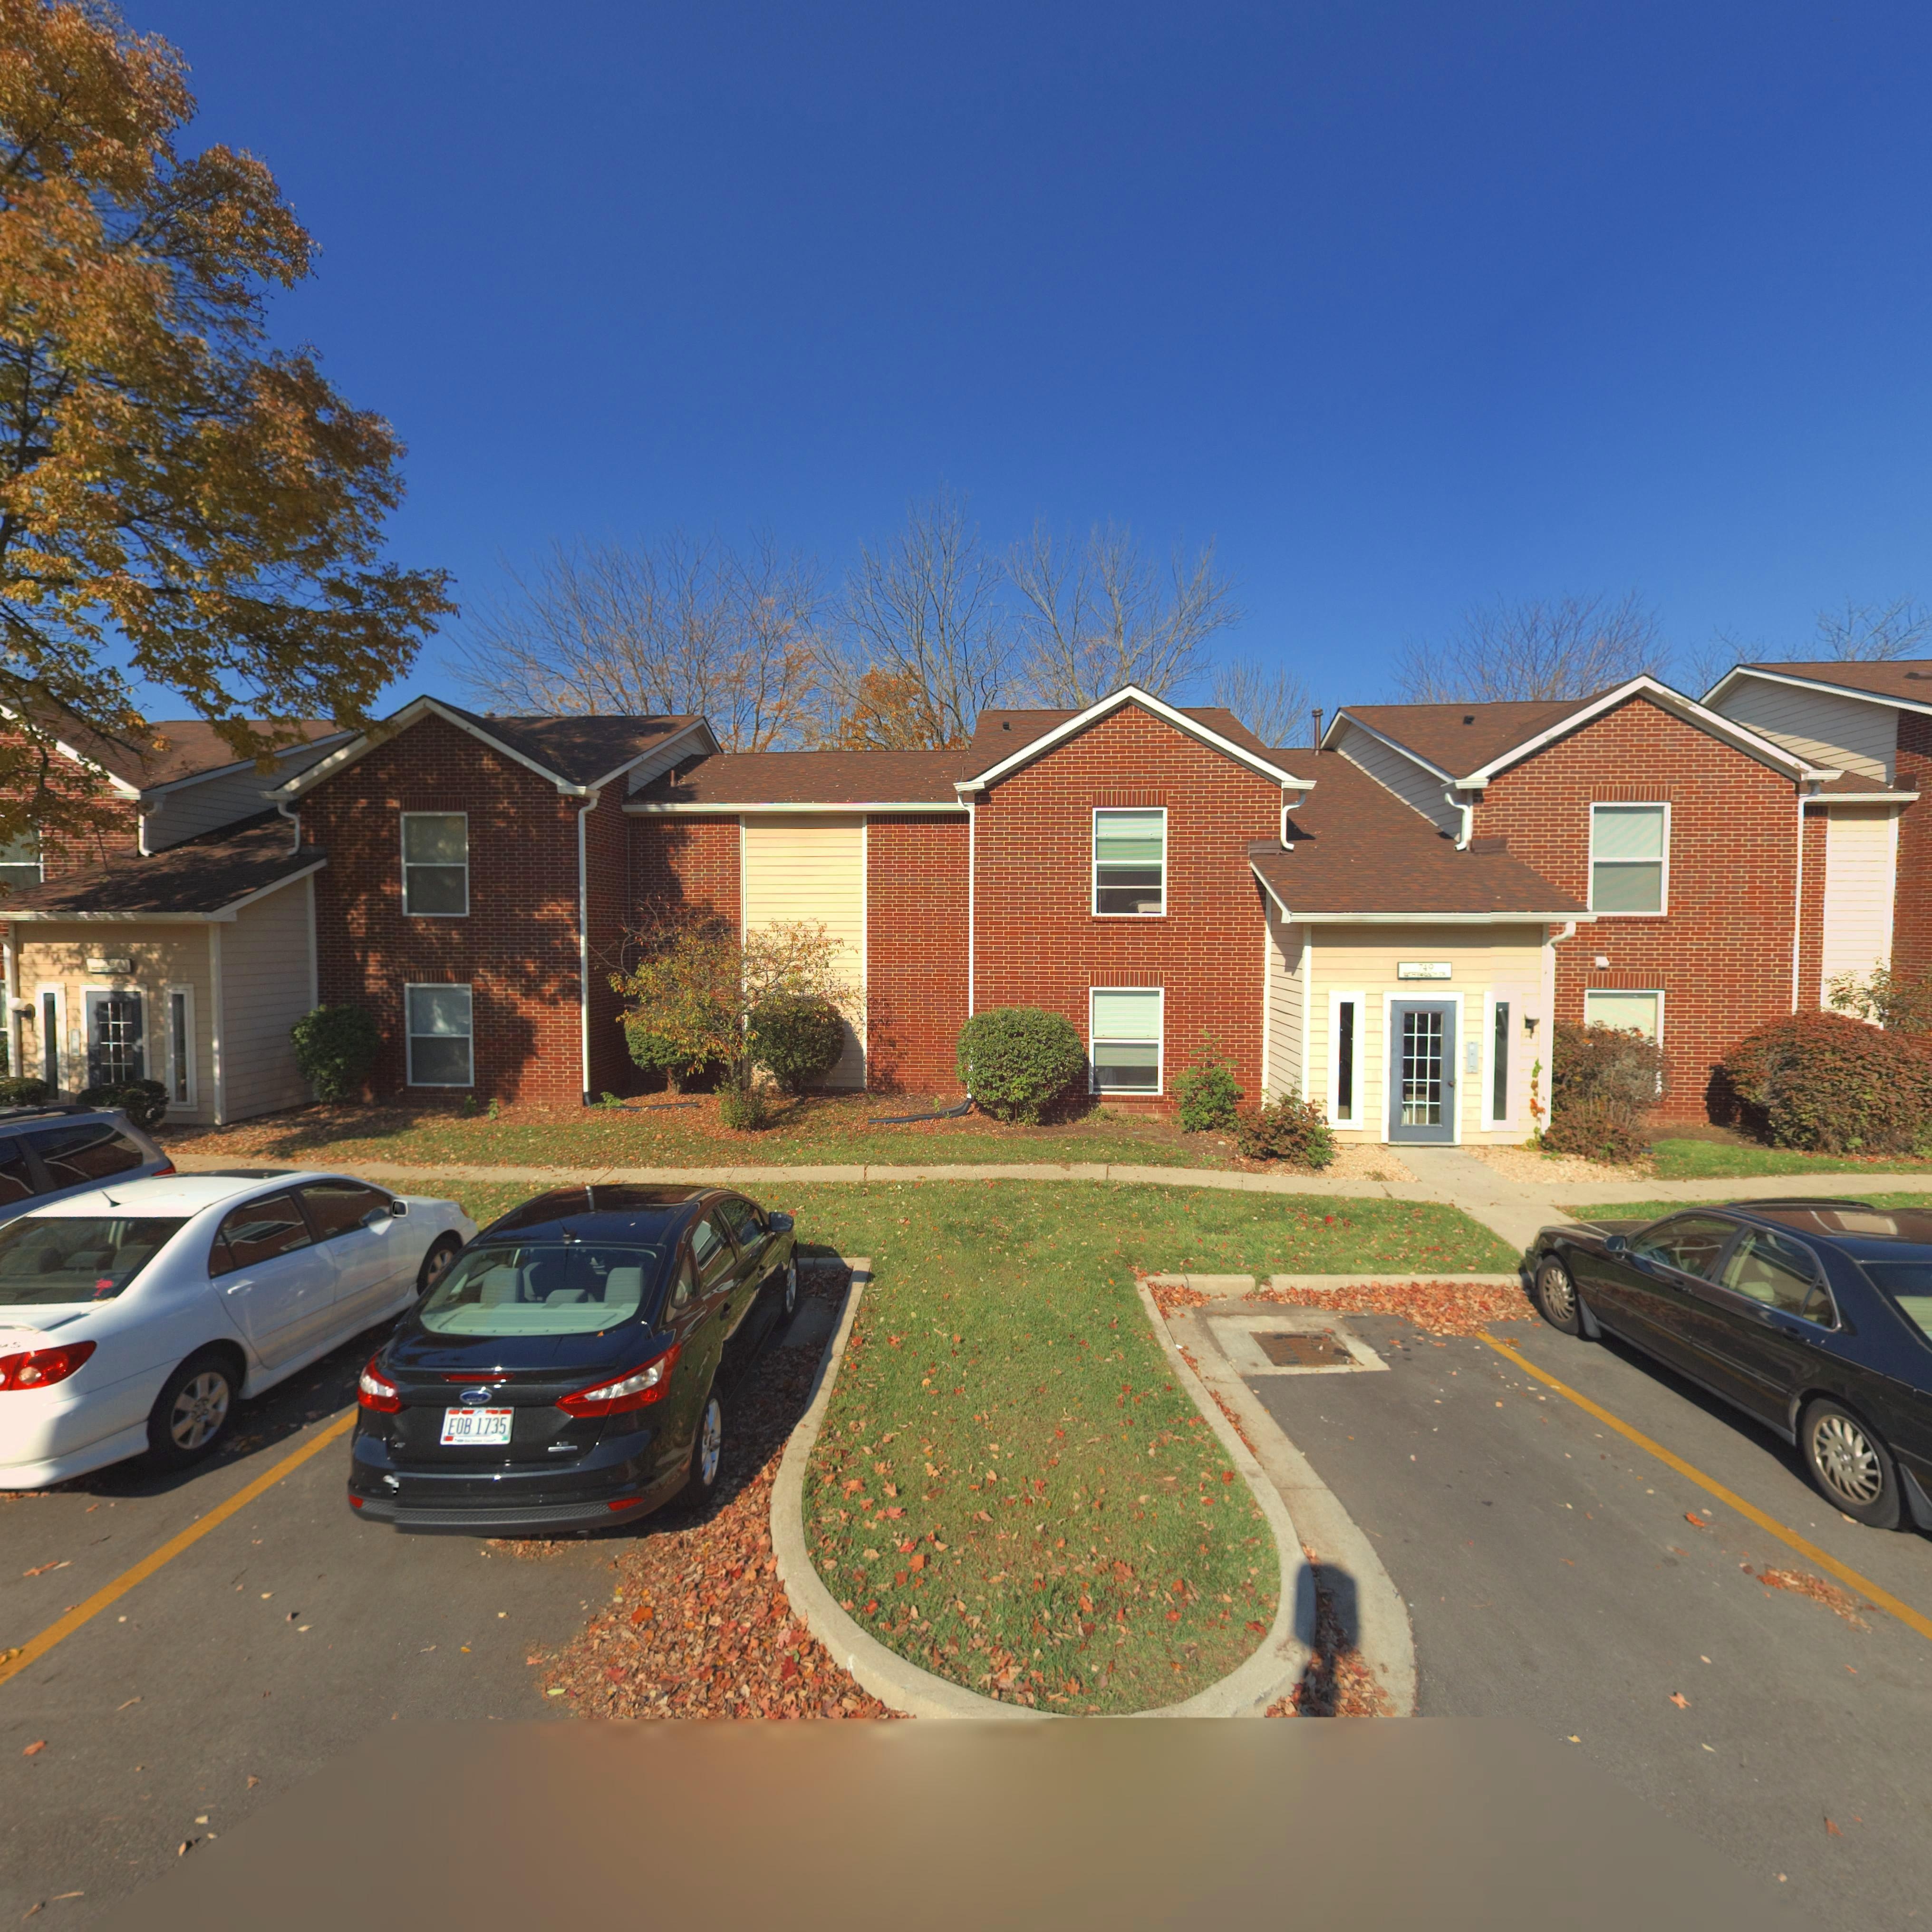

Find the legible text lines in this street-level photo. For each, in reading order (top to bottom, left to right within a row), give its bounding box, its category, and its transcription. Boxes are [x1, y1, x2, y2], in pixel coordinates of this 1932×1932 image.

[1417, 962, 1436, 973] StreetNumber: 749
[444, 1415, 510, 1437] None: EOB 1735